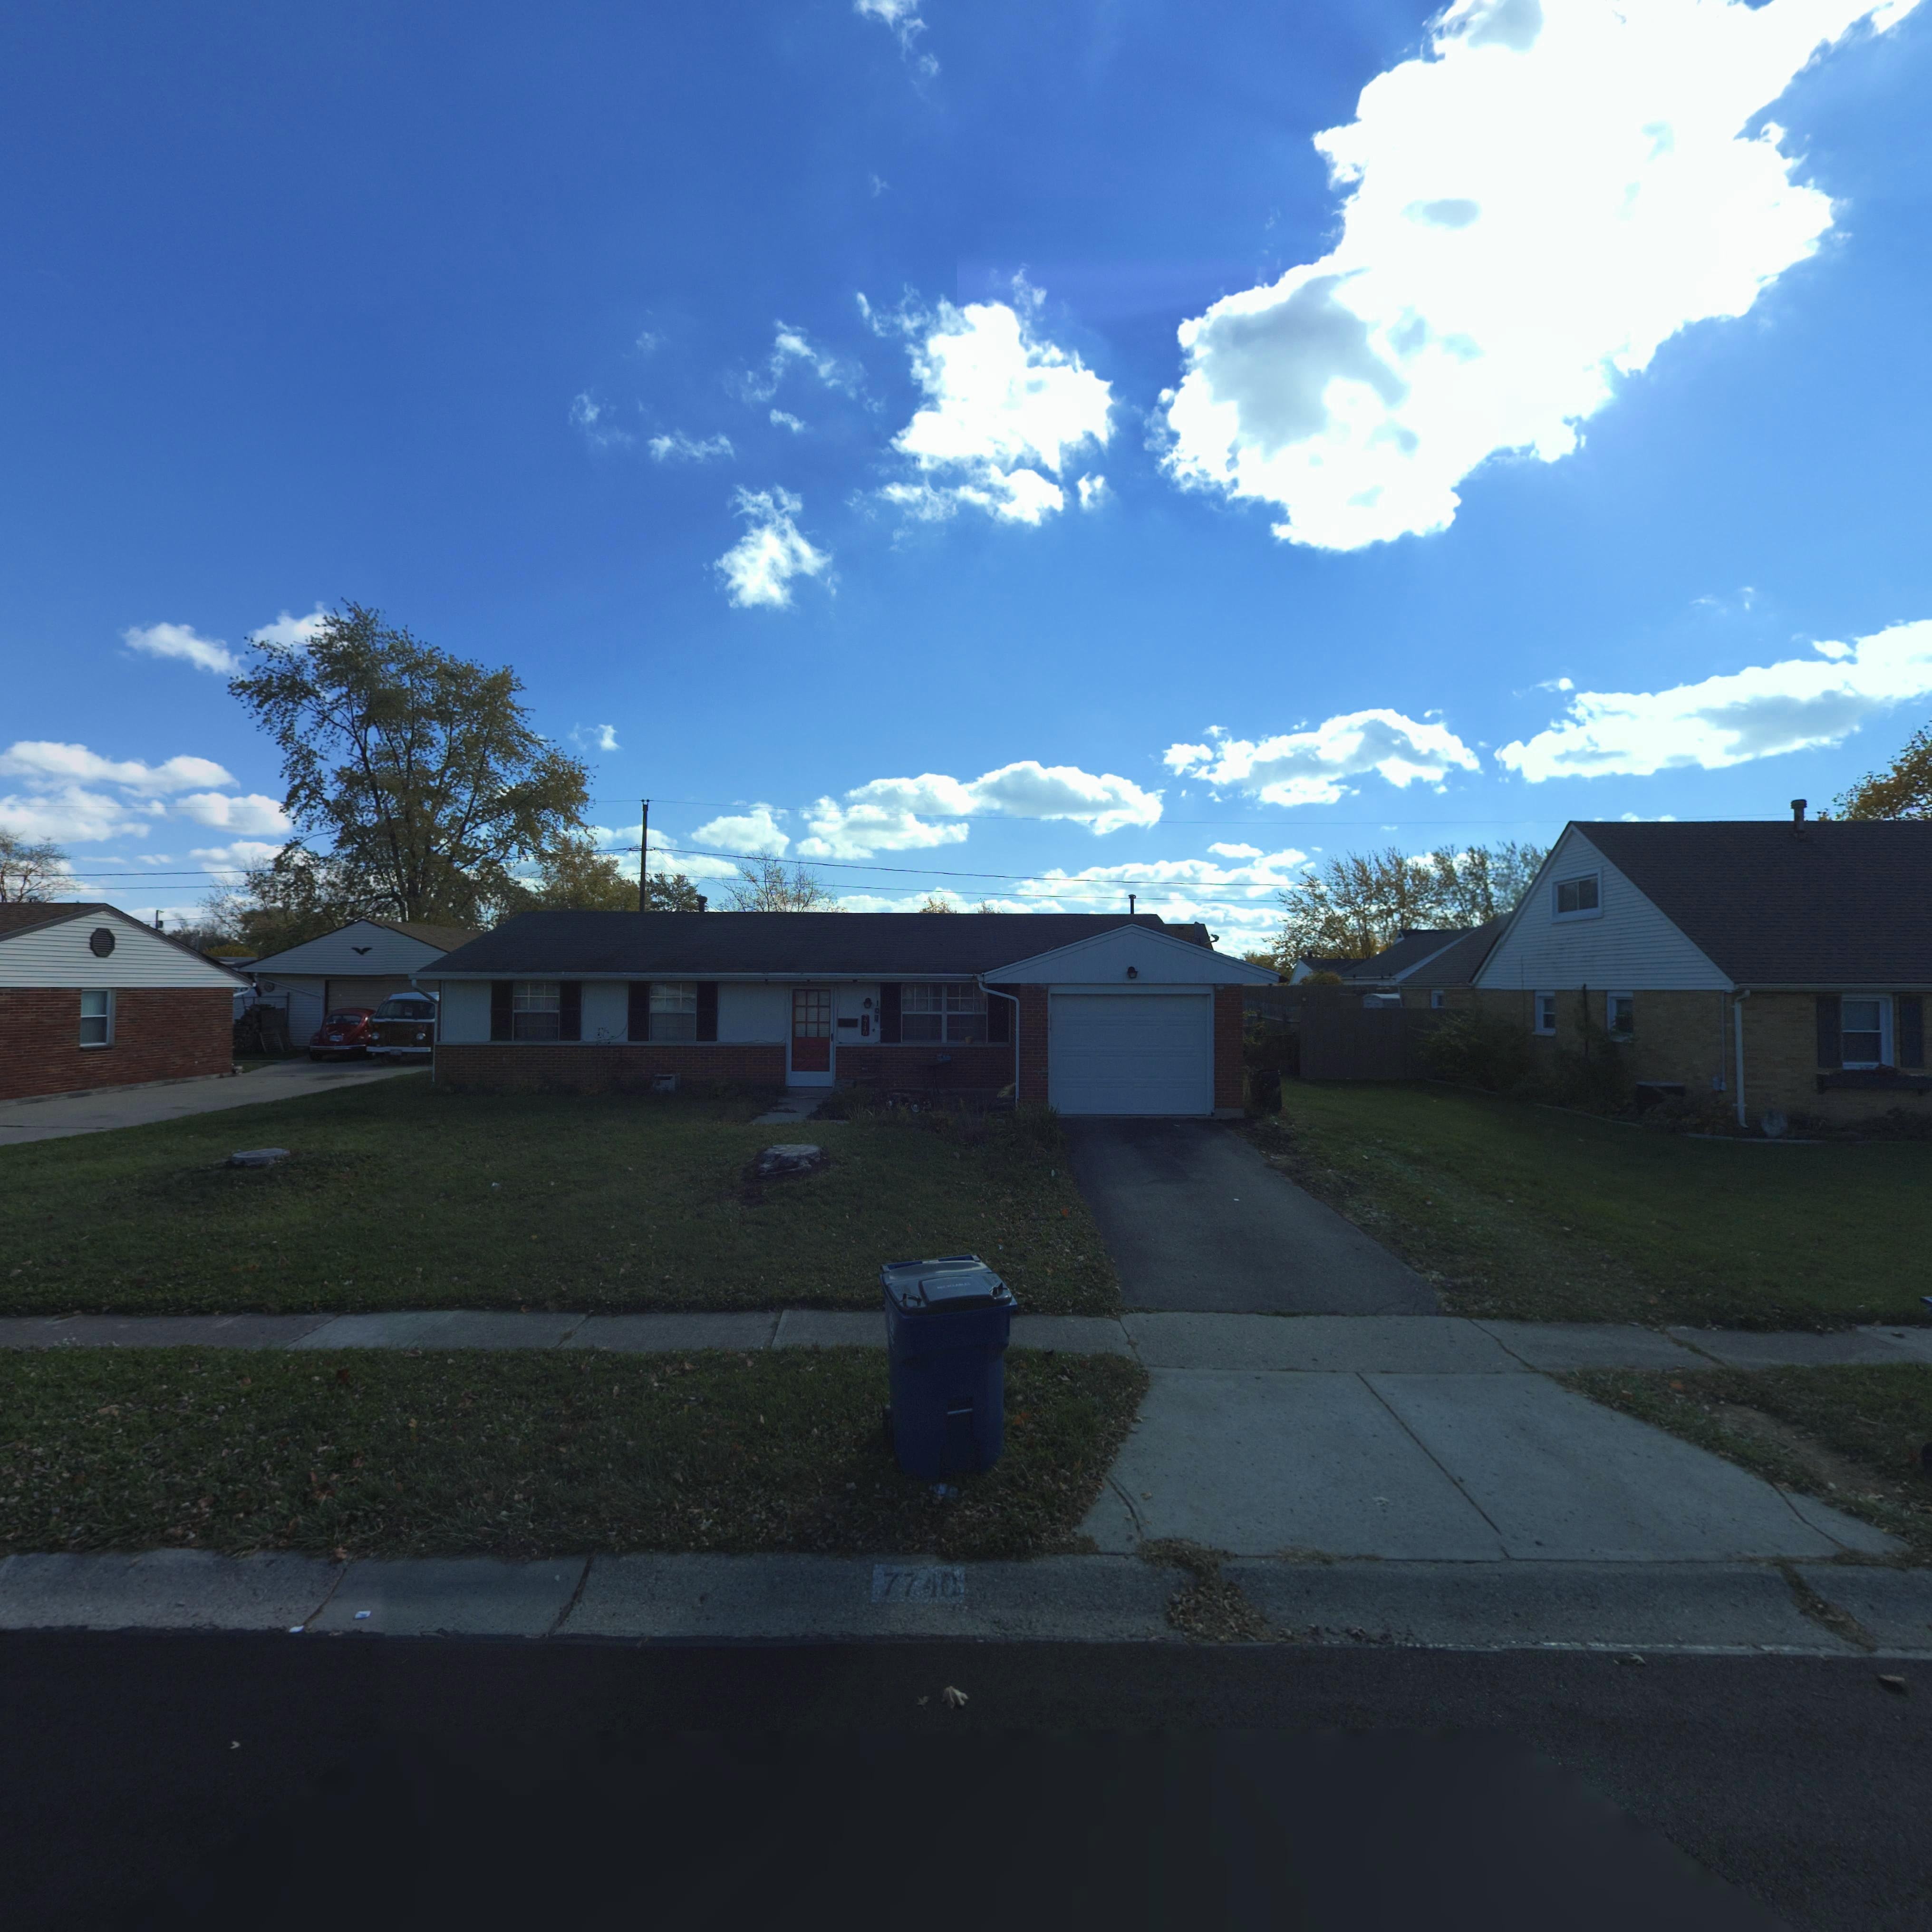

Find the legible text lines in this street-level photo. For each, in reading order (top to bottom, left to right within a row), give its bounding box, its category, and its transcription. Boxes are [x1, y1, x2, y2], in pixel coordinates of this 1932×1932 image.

[861, 1014, 868, 1036] StreetNumber: 7740
[882, 1570, 959, 1599] StreetNumber: 7740